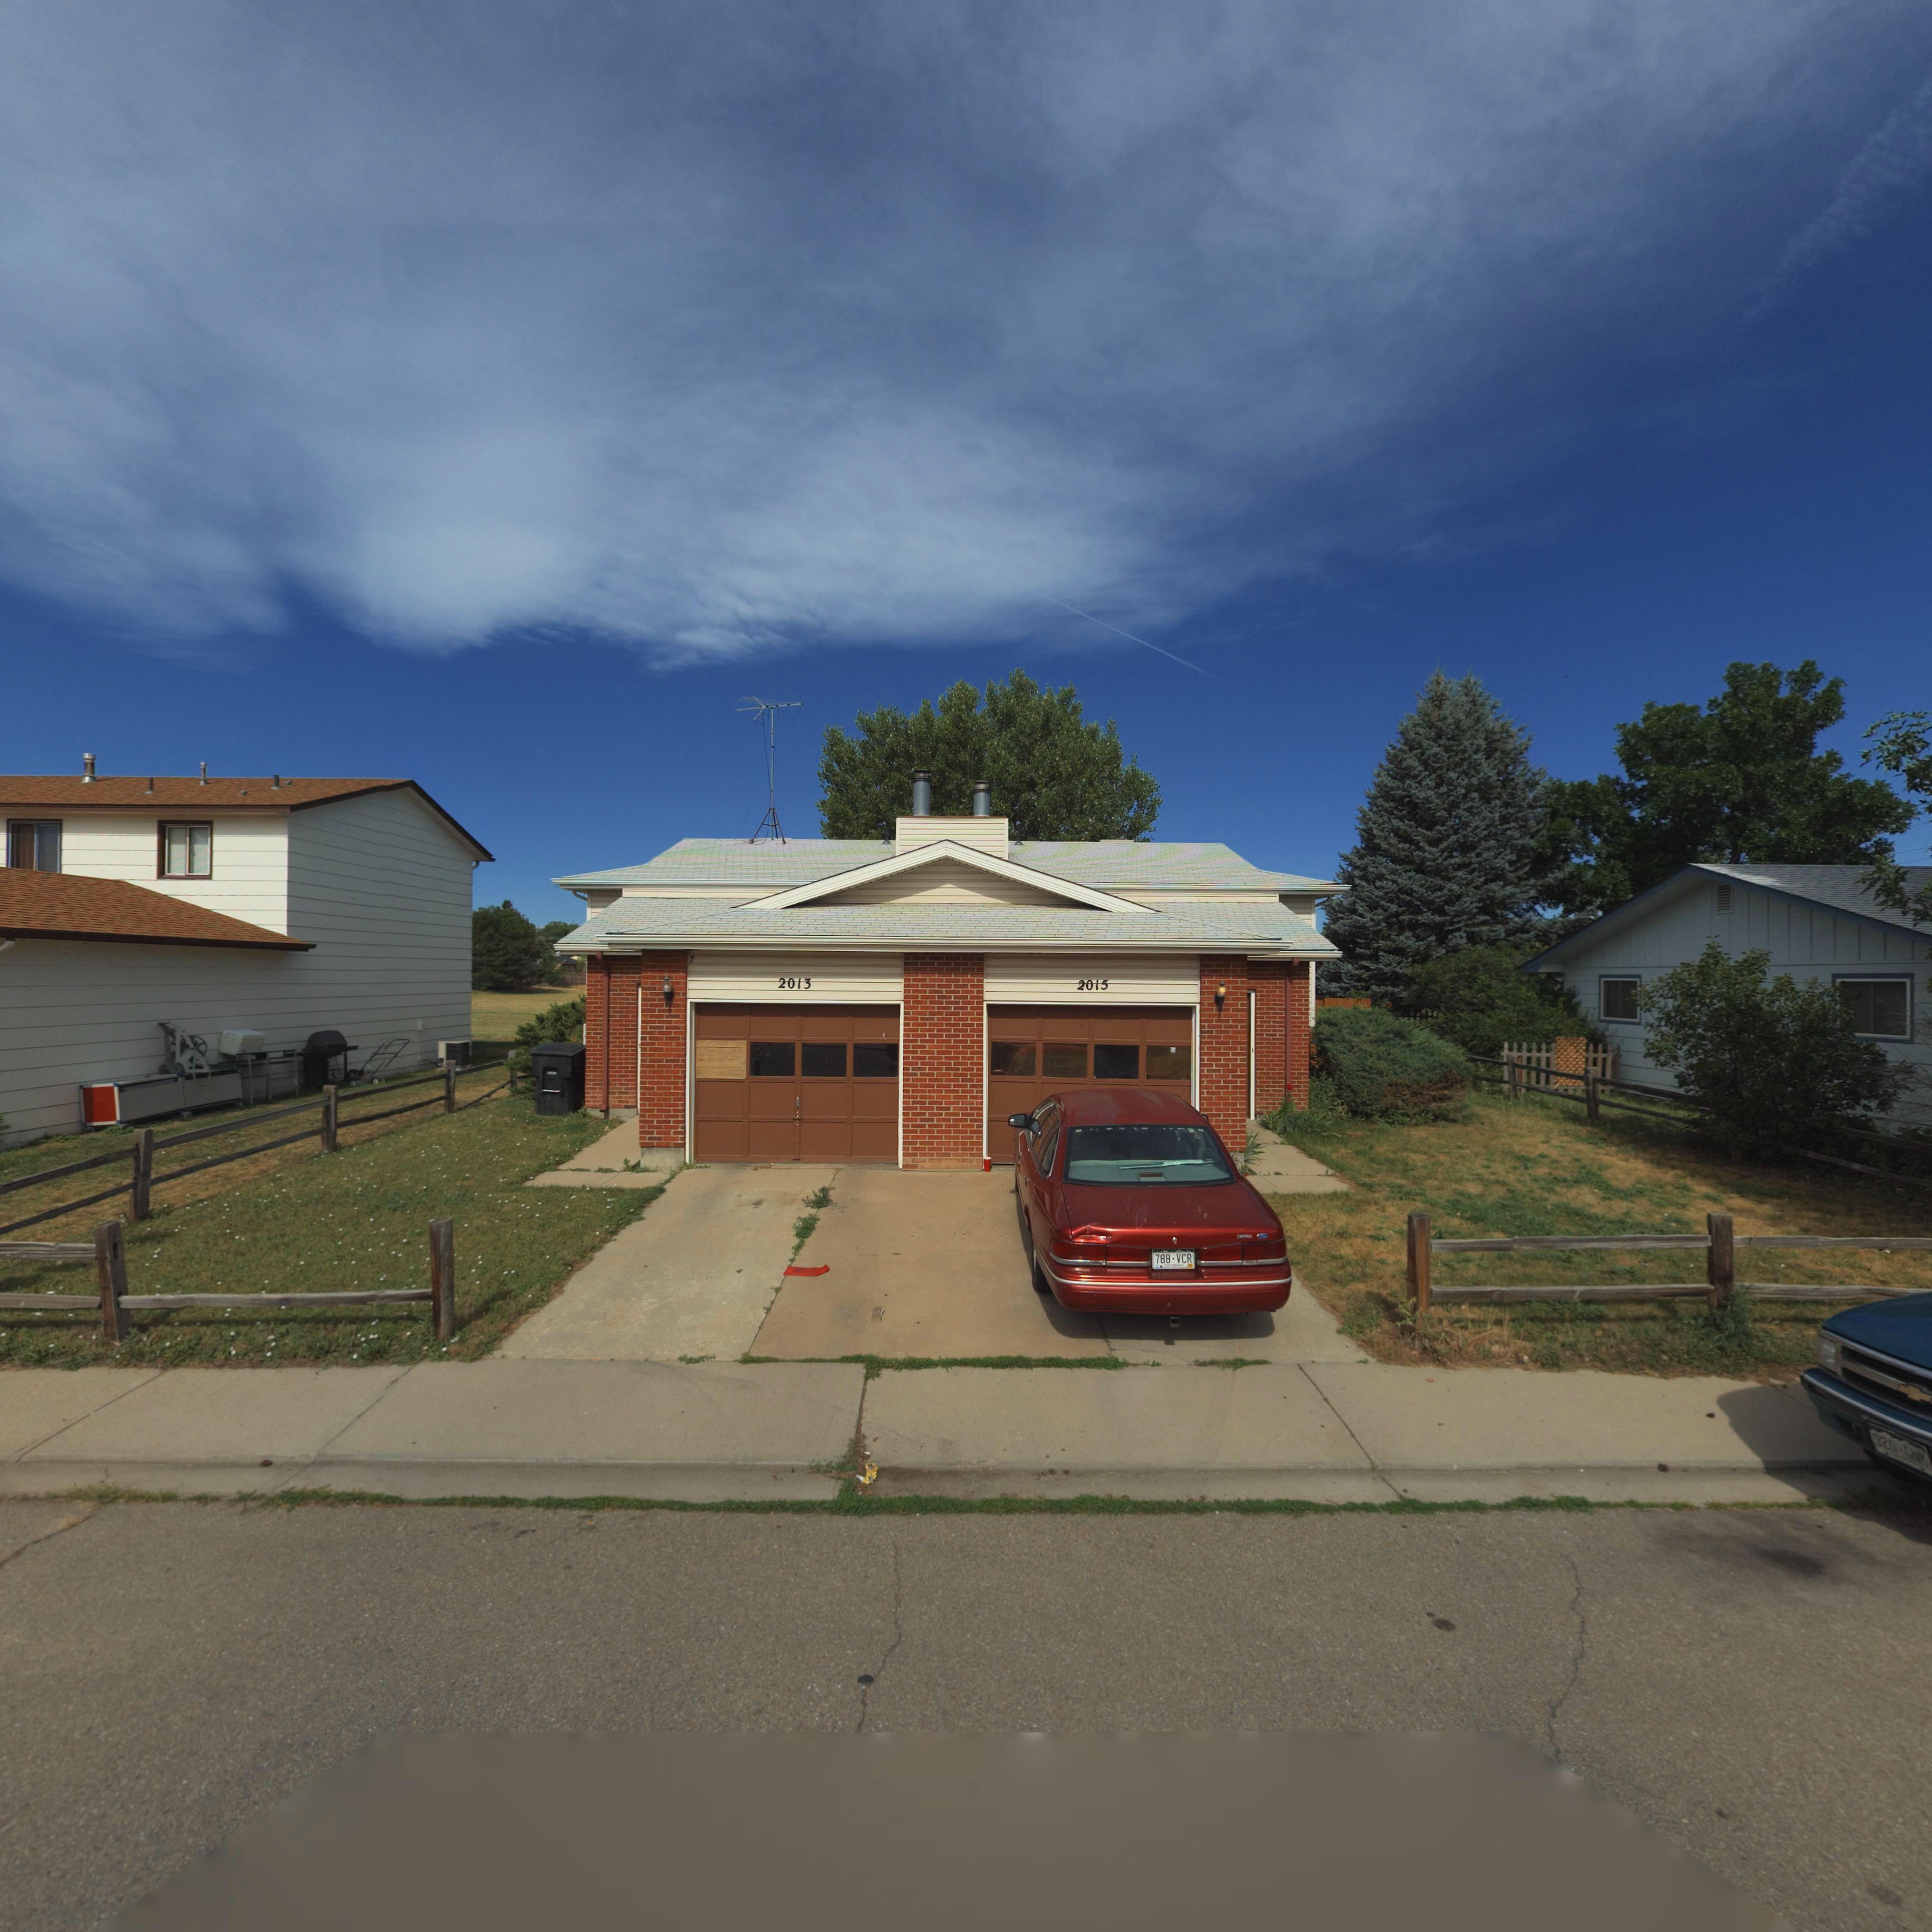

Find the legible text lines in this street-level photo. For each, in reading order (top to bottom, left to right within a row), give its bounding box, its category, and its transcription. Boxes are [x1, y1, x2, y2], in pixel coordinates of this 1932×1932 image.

[778, 977, 811, 989] StreetNumber: 2013
[1076, 978, 1109, 991] StreetNumber: 2015